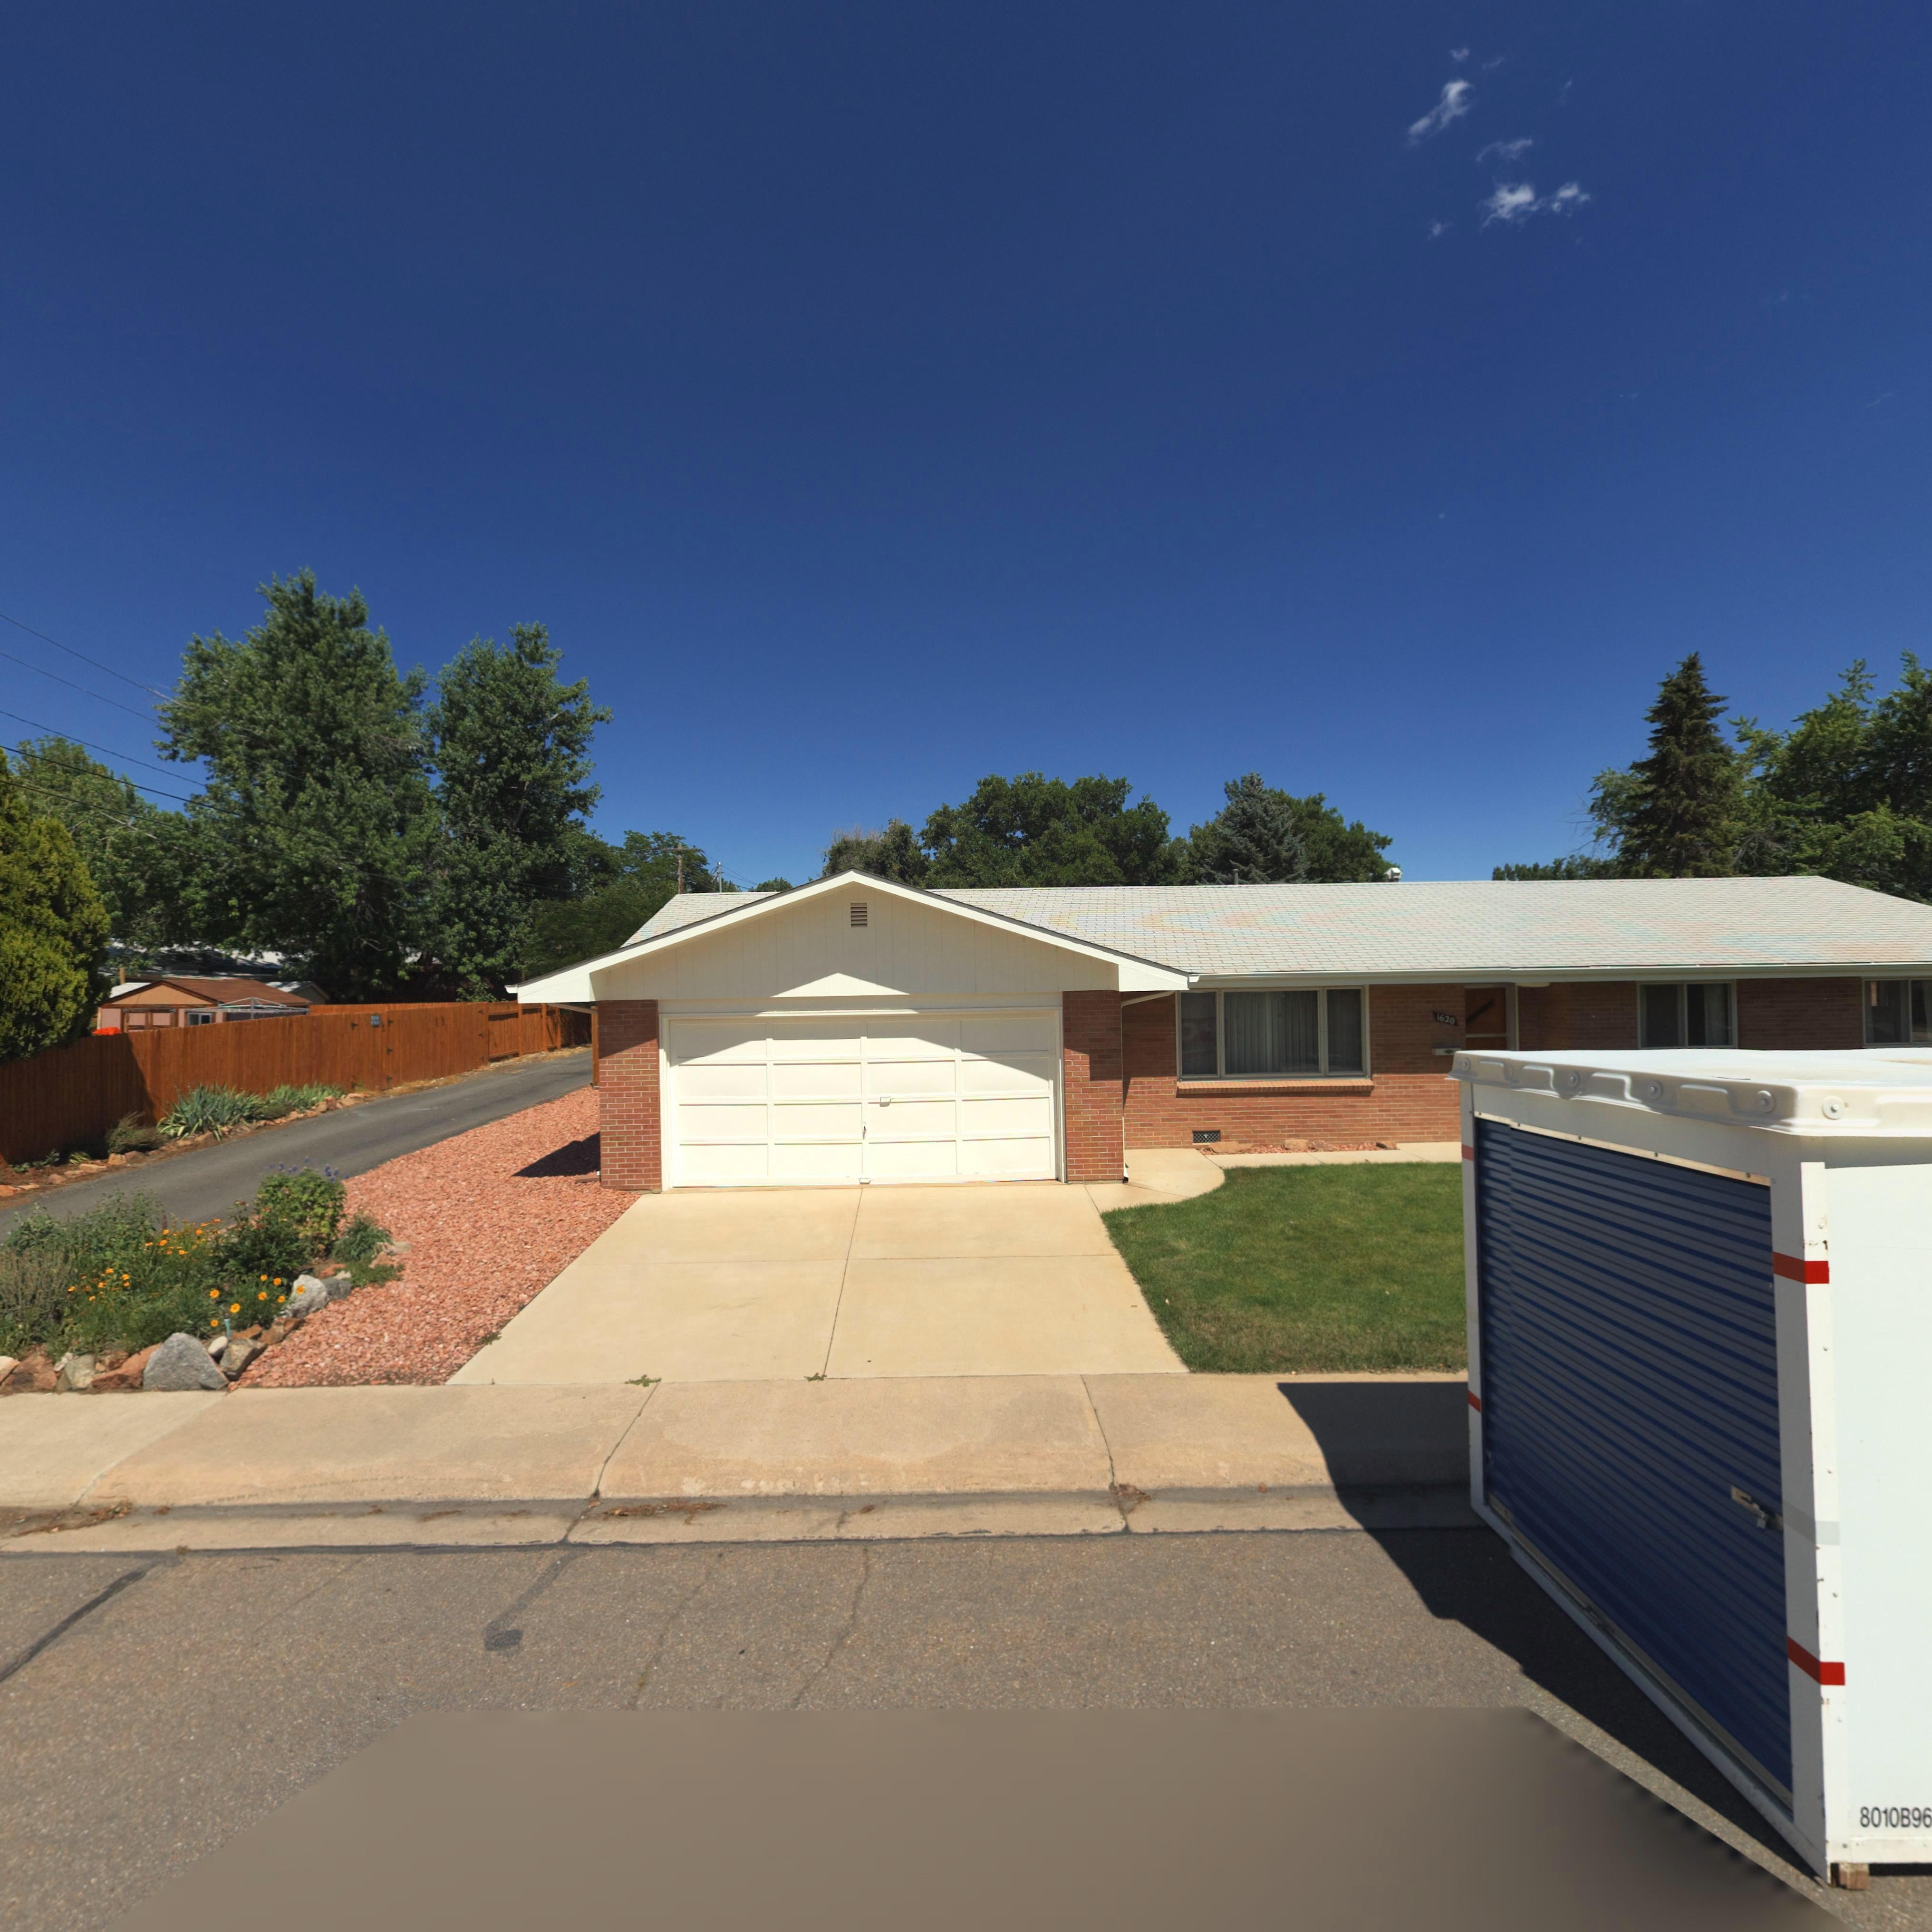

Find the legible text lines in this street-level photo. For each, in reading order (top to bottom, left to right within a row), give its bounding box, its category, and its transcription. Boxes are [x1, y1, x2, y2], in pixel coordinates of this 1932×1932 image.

[1436, 1013, 1455, 1025] StreetNumber: 1620